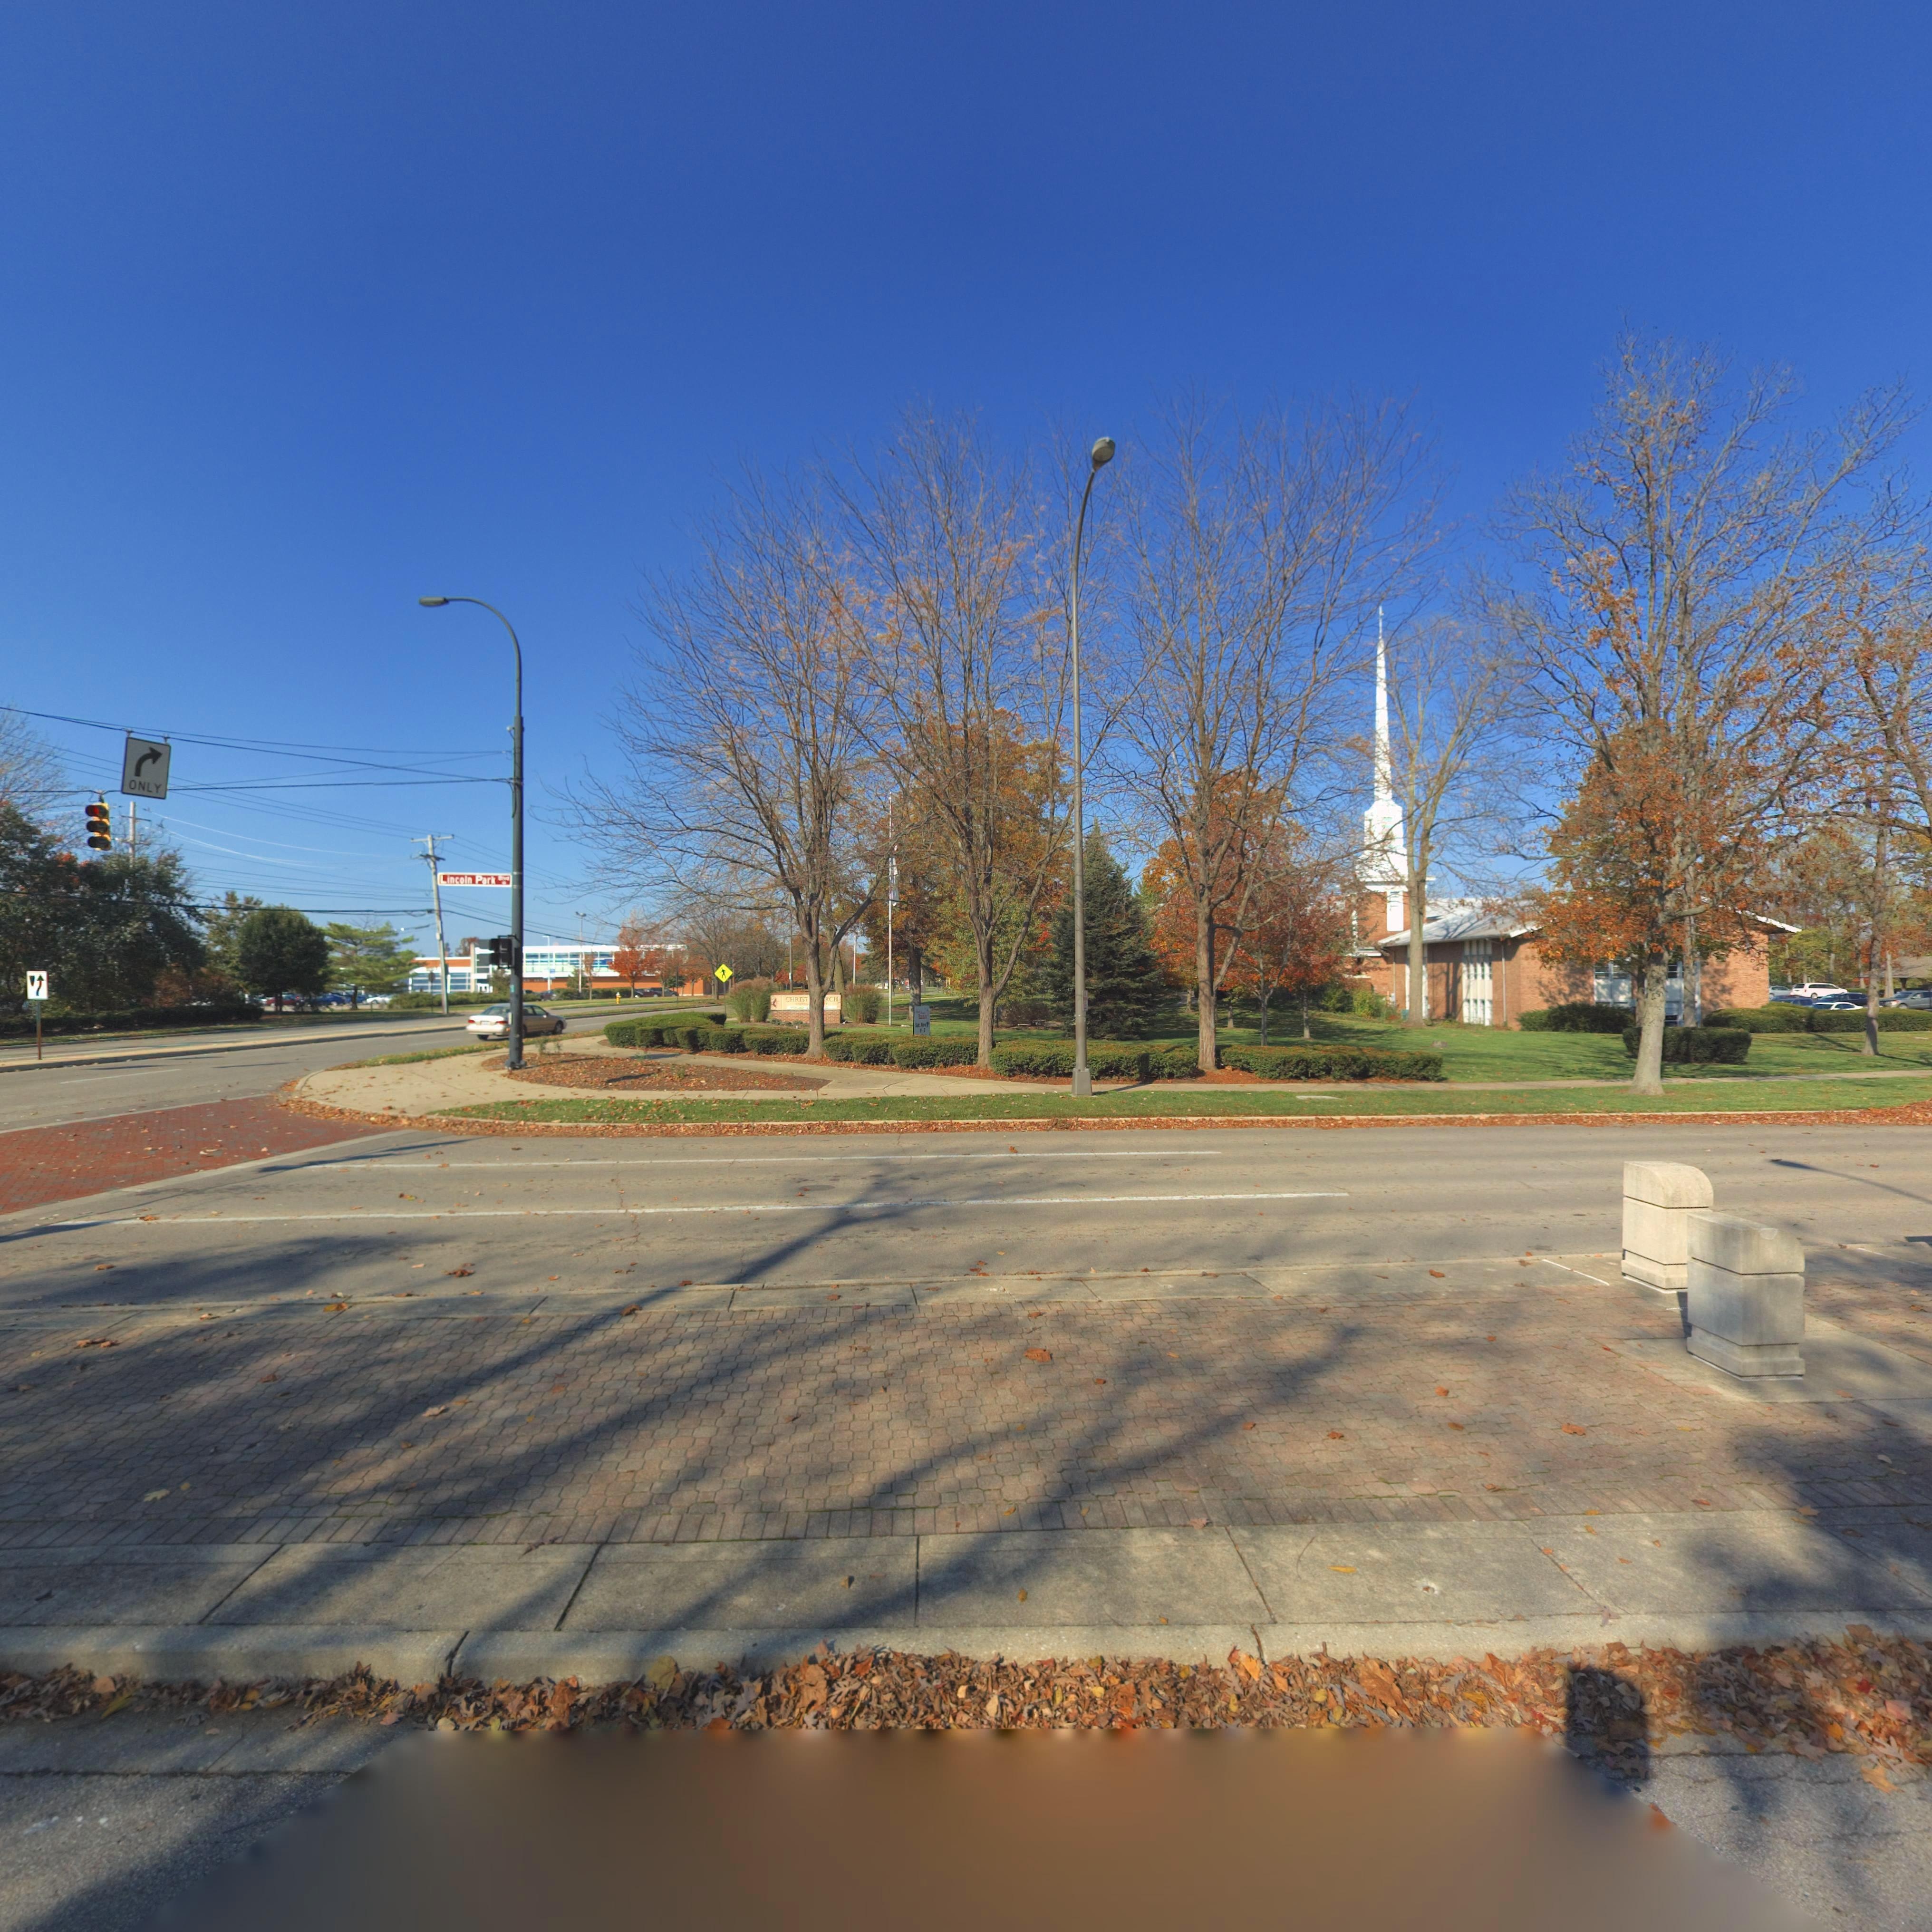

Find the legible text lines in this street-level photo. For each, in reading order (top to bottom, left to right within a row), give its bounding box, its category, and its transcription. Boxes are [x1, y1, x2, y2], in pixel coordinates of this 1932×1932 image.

[128, 778, 163, 794] None: ONLY
[440, 874, 511, 884] StreetName: Lincoln Park Blvd
[785, 996, 809, 1002] BusinessName: CHRIST
[825, 996, 839, 1002] BusinessName: RCH